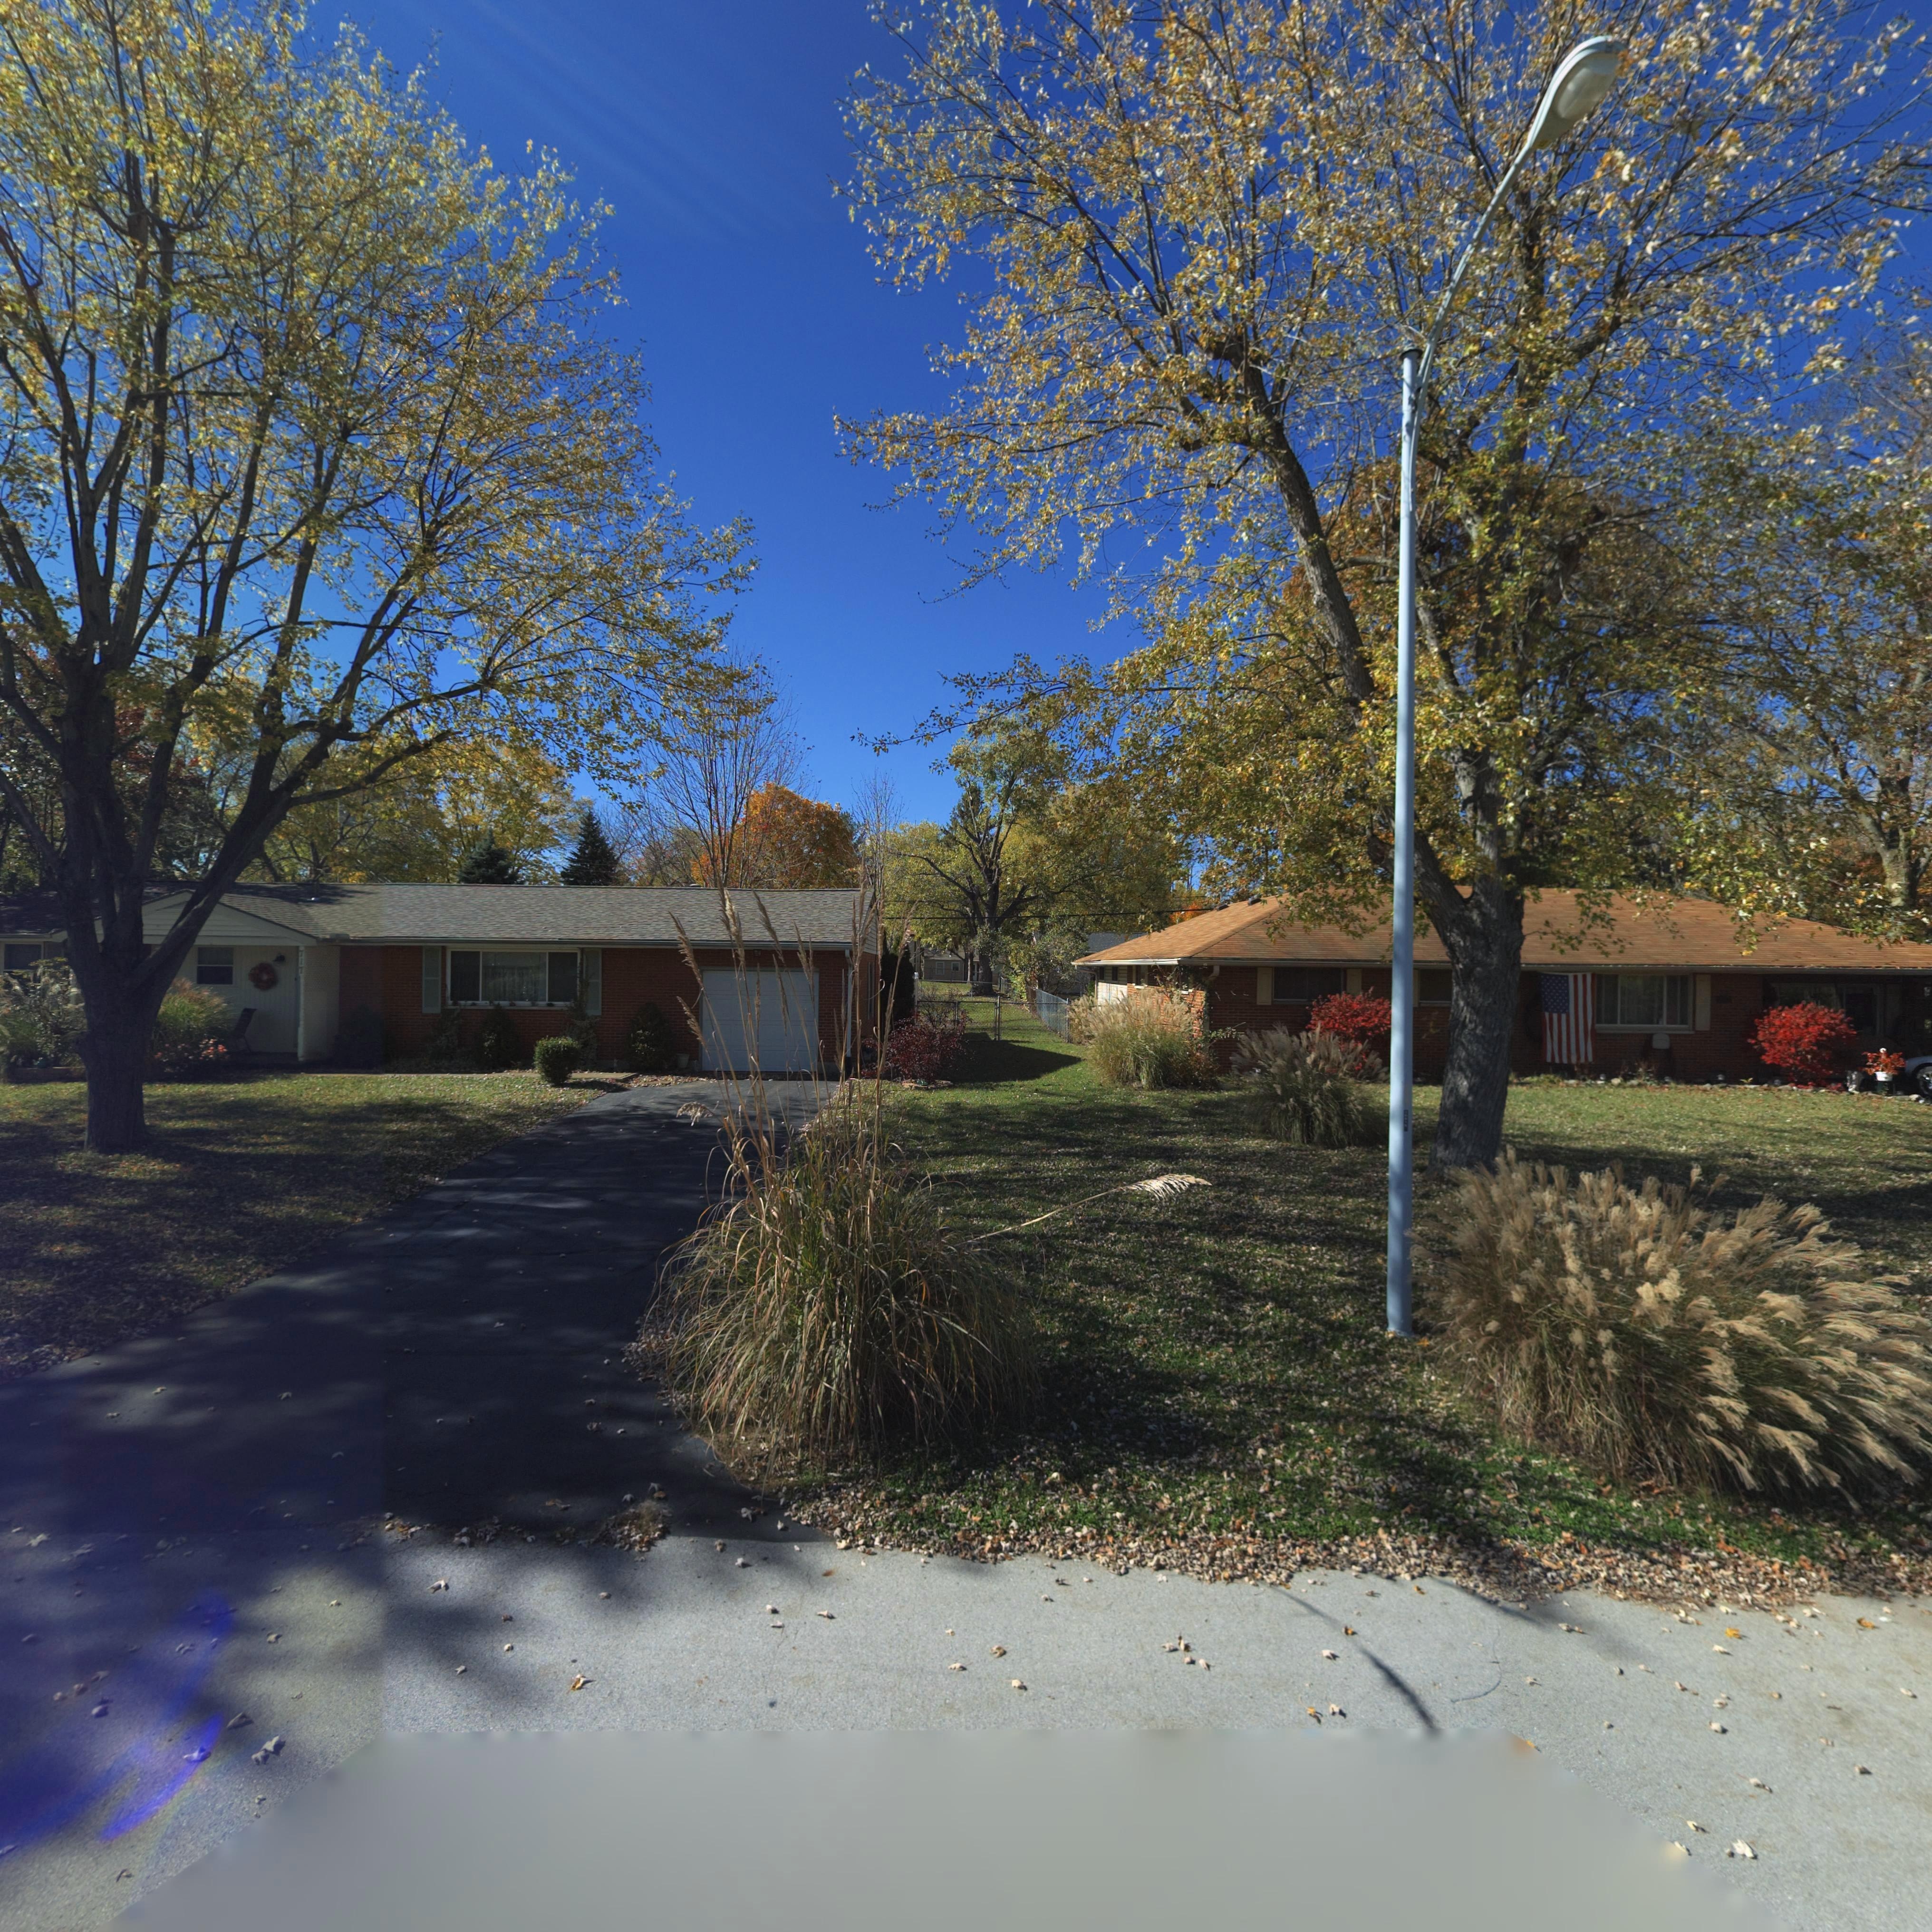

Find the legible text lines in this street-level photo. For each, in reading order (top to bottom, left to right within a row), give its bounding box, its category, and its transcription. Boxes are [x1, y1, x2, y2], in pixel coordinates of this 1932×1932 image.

[298, 949, 304, 974] StreetNumber: 717